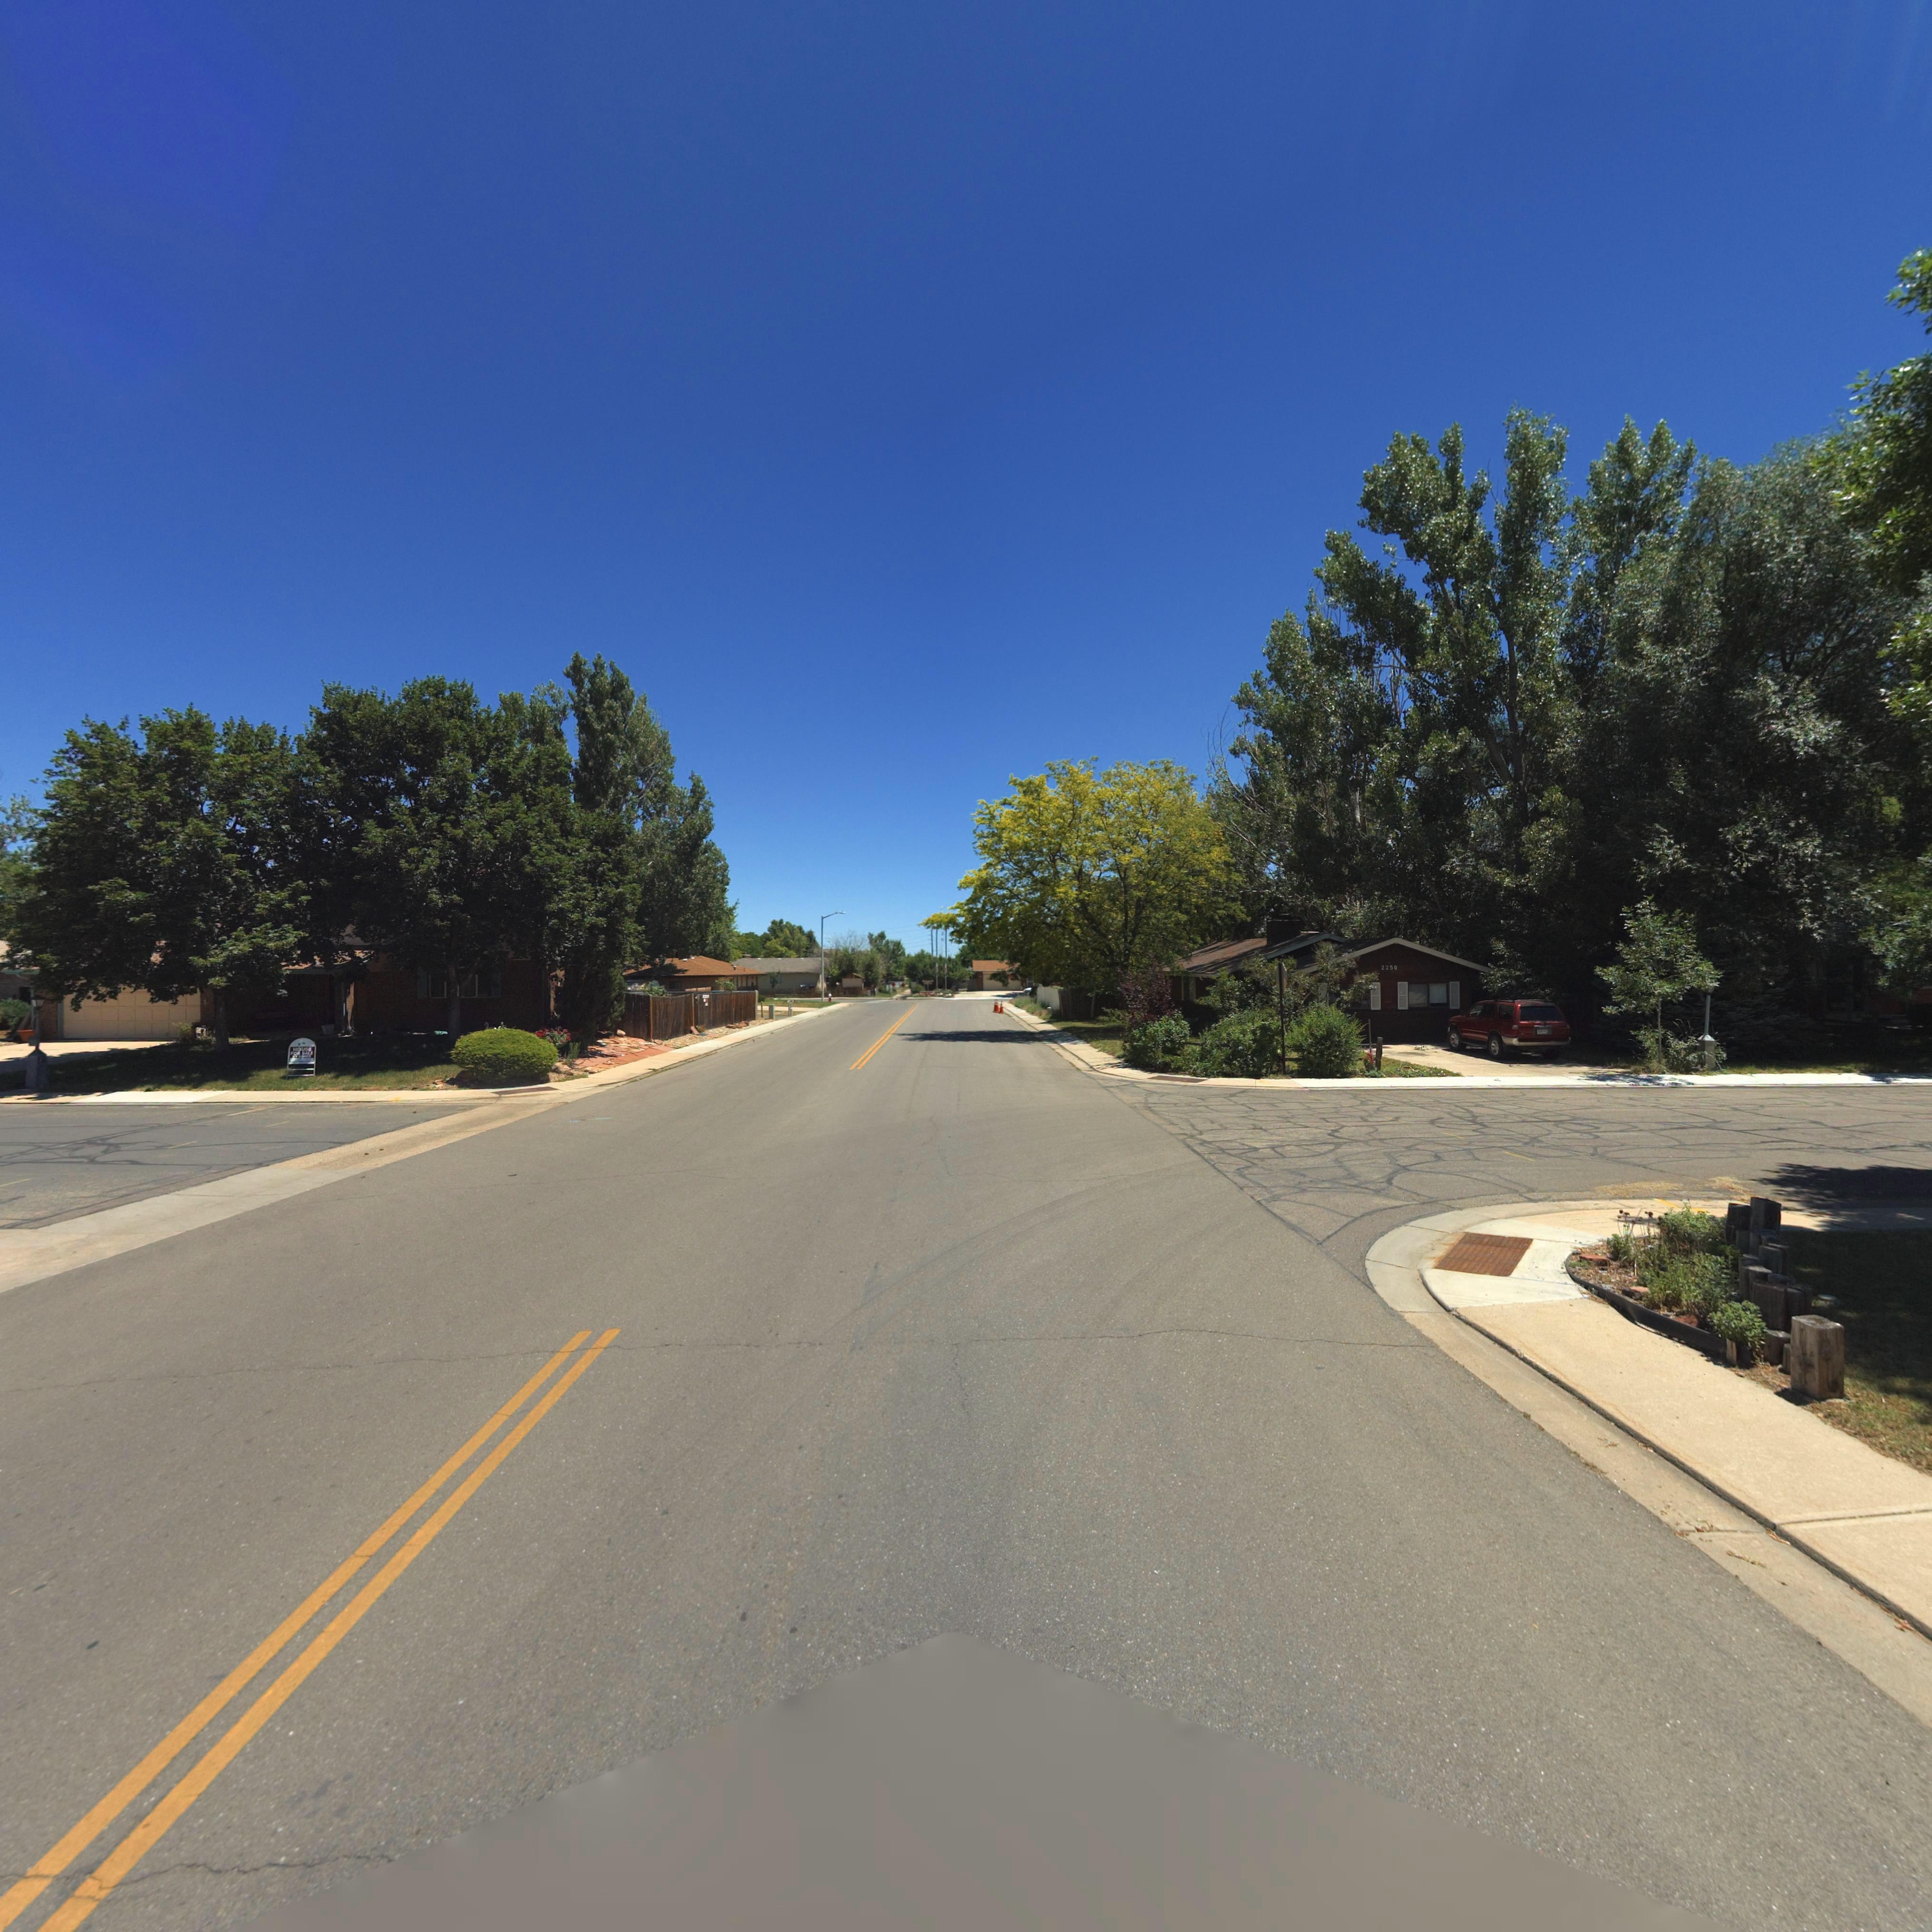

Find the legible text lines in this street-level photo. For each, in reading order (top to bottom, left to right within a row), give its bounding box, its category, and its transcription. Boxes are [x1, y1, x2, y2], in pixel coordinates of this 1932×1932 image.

[1381, 965, 1397, 970] StreetNumber: 2250